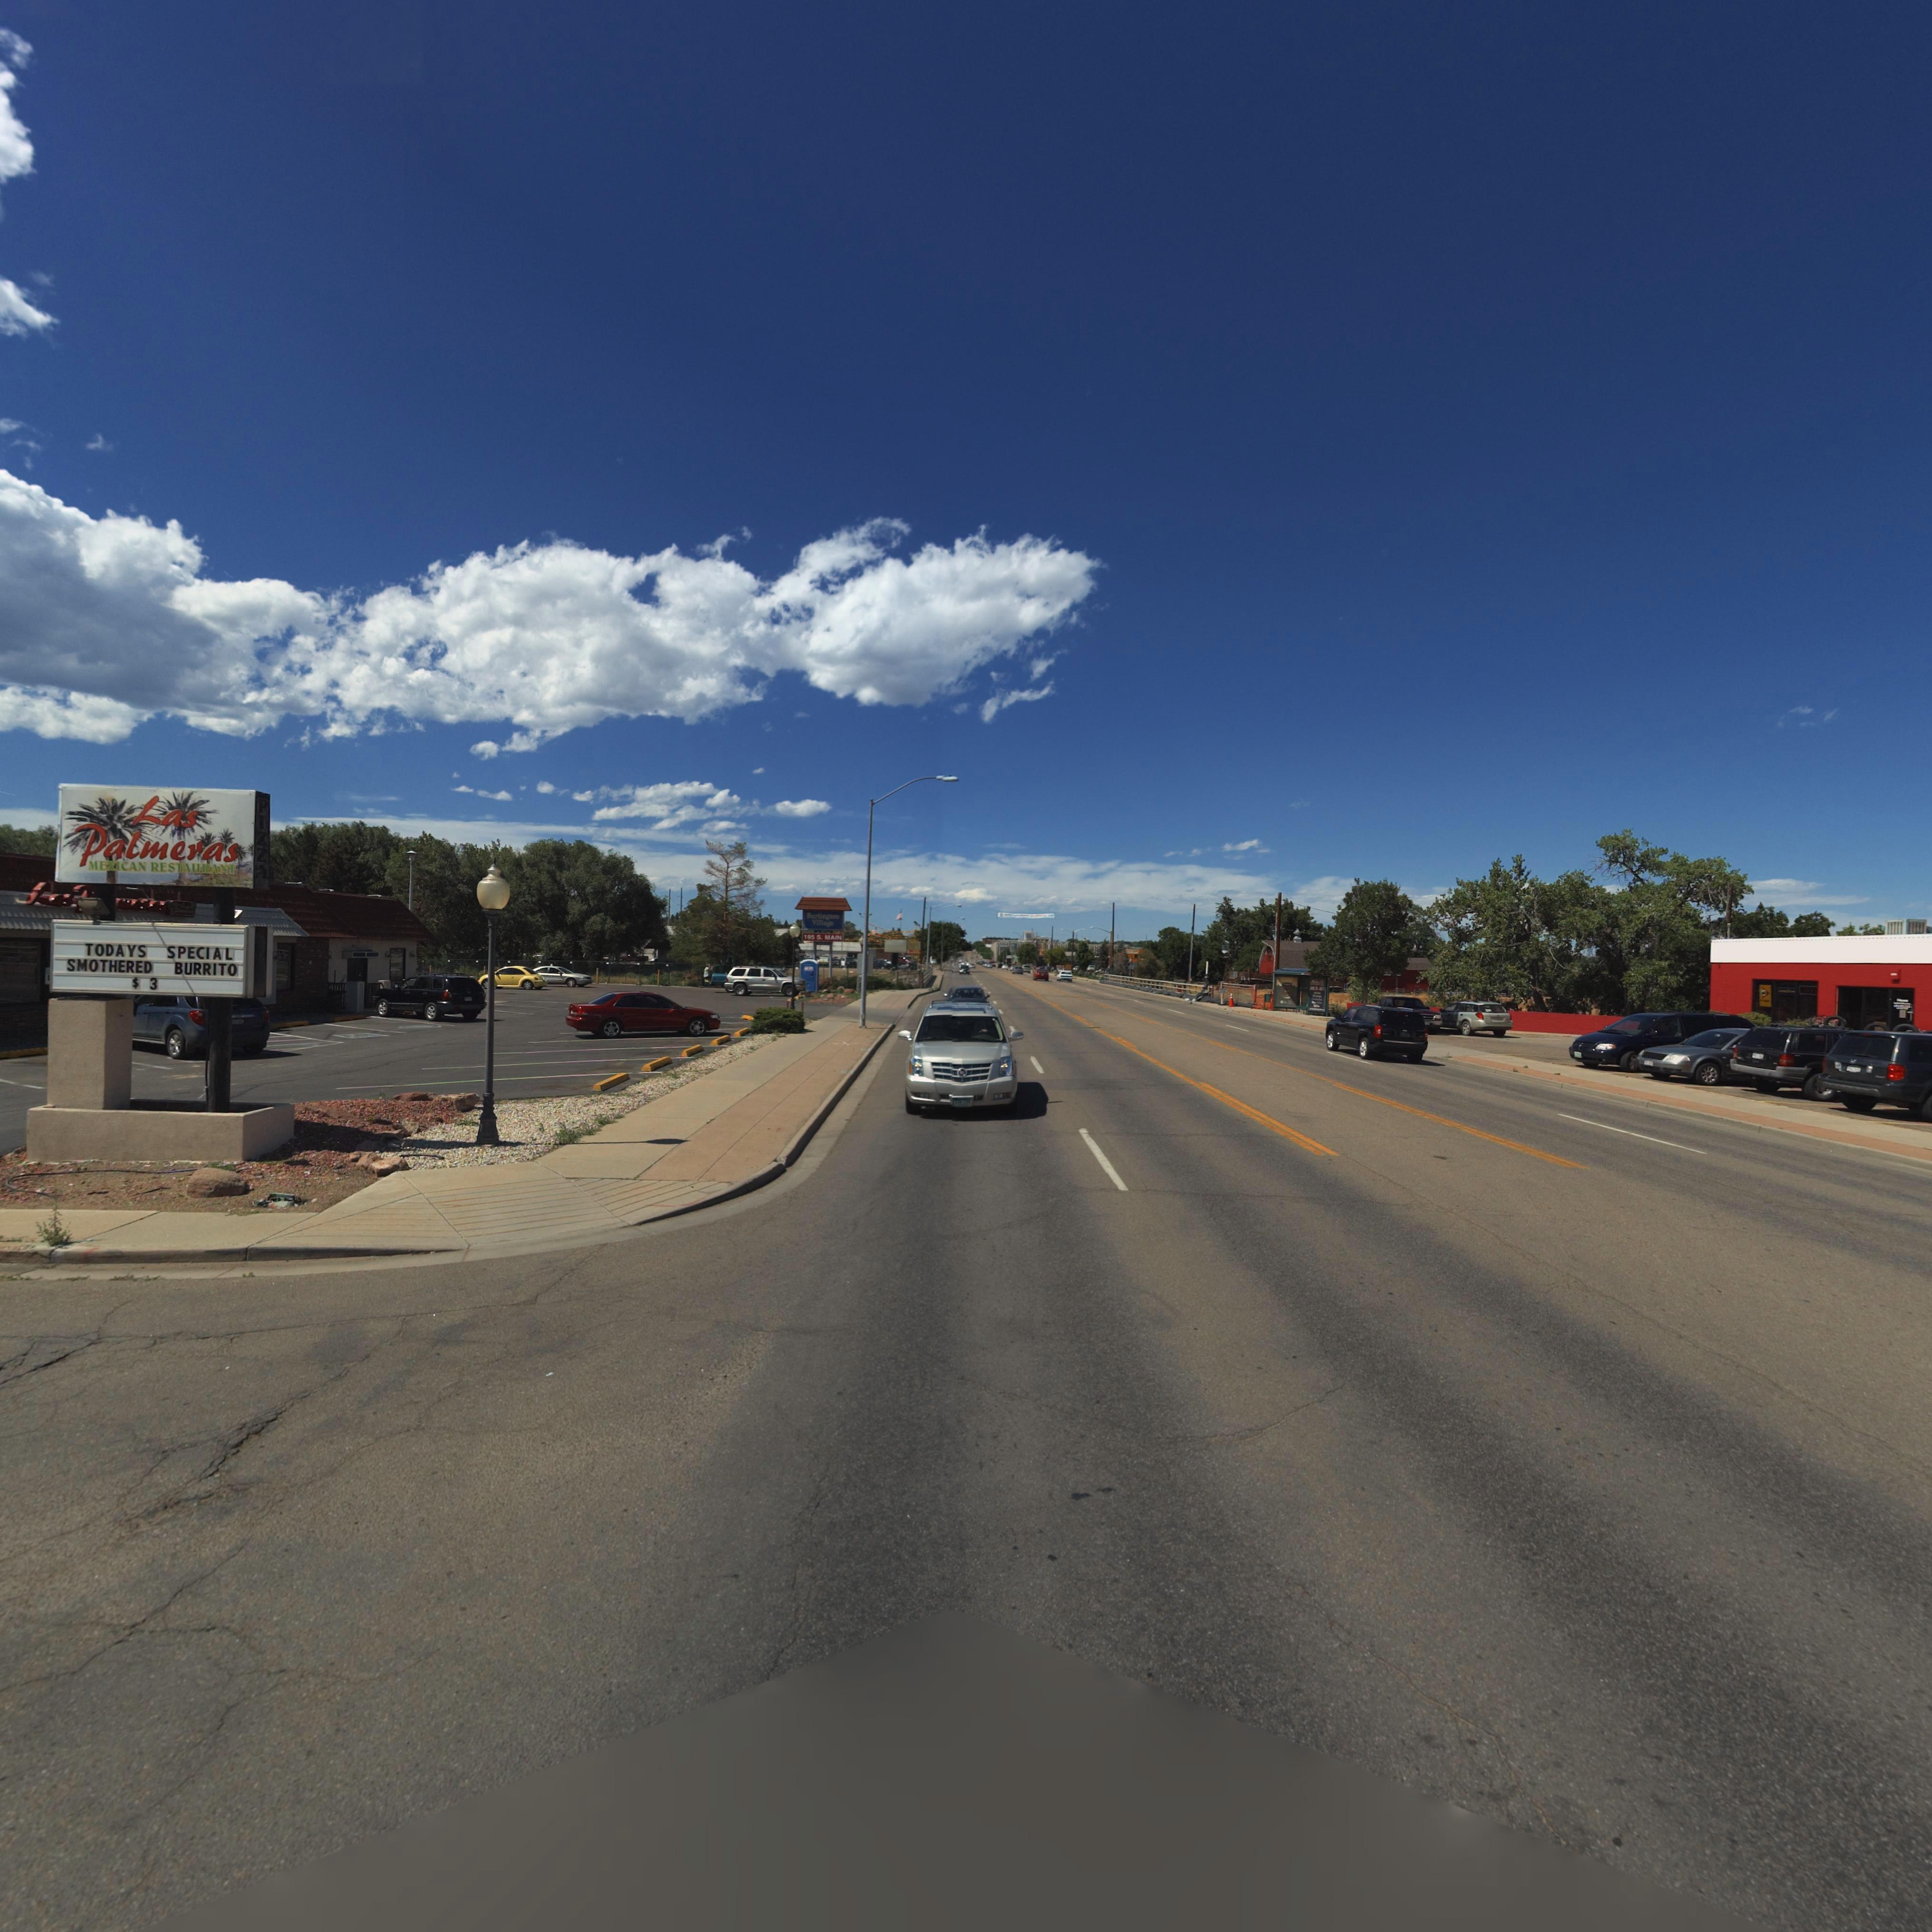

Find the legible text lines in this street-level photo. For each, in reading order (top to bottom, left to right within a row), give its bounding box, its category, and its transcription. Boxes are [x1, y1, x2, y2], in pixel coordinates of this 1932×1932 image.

[131, 793, 200, 828] BusinessName: Las
[72, 822, 241, 869] BusinessName: Palmeras
[87, 860, 237, 874] BusinessName: MEXICAN RESTAURANT
[8, 879, 169, 915] BusinessName: Las***meras
[803, 934, 815, 940] StreetNumber: 195
[816, 935, 842, 940] StreetName: S. MAIN